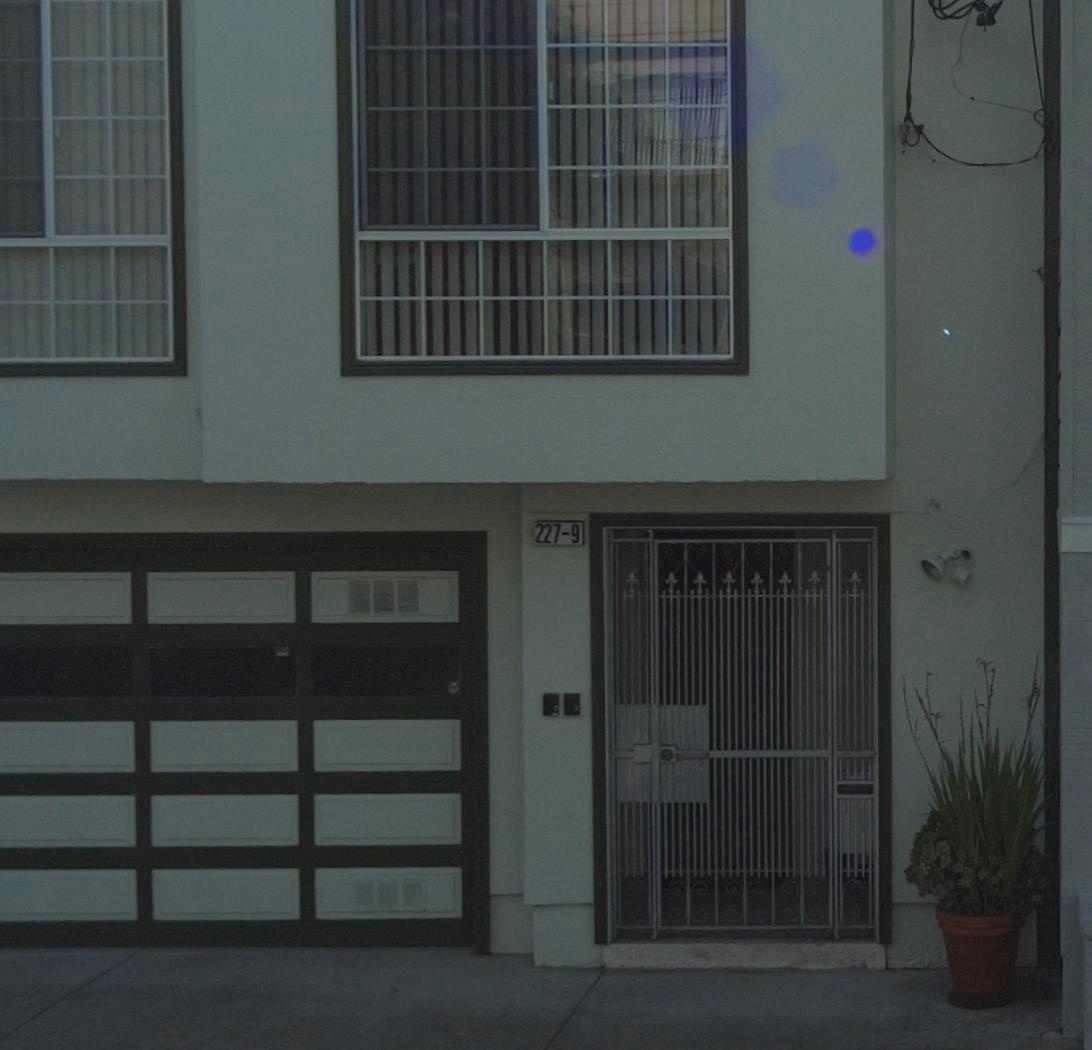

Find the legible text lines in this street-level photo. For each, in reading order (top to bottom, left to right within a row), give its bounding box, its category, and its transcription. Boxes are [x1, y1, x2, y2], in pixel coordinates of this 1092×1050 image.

[534, 522, 581, 545] StreetNumber: 227-9